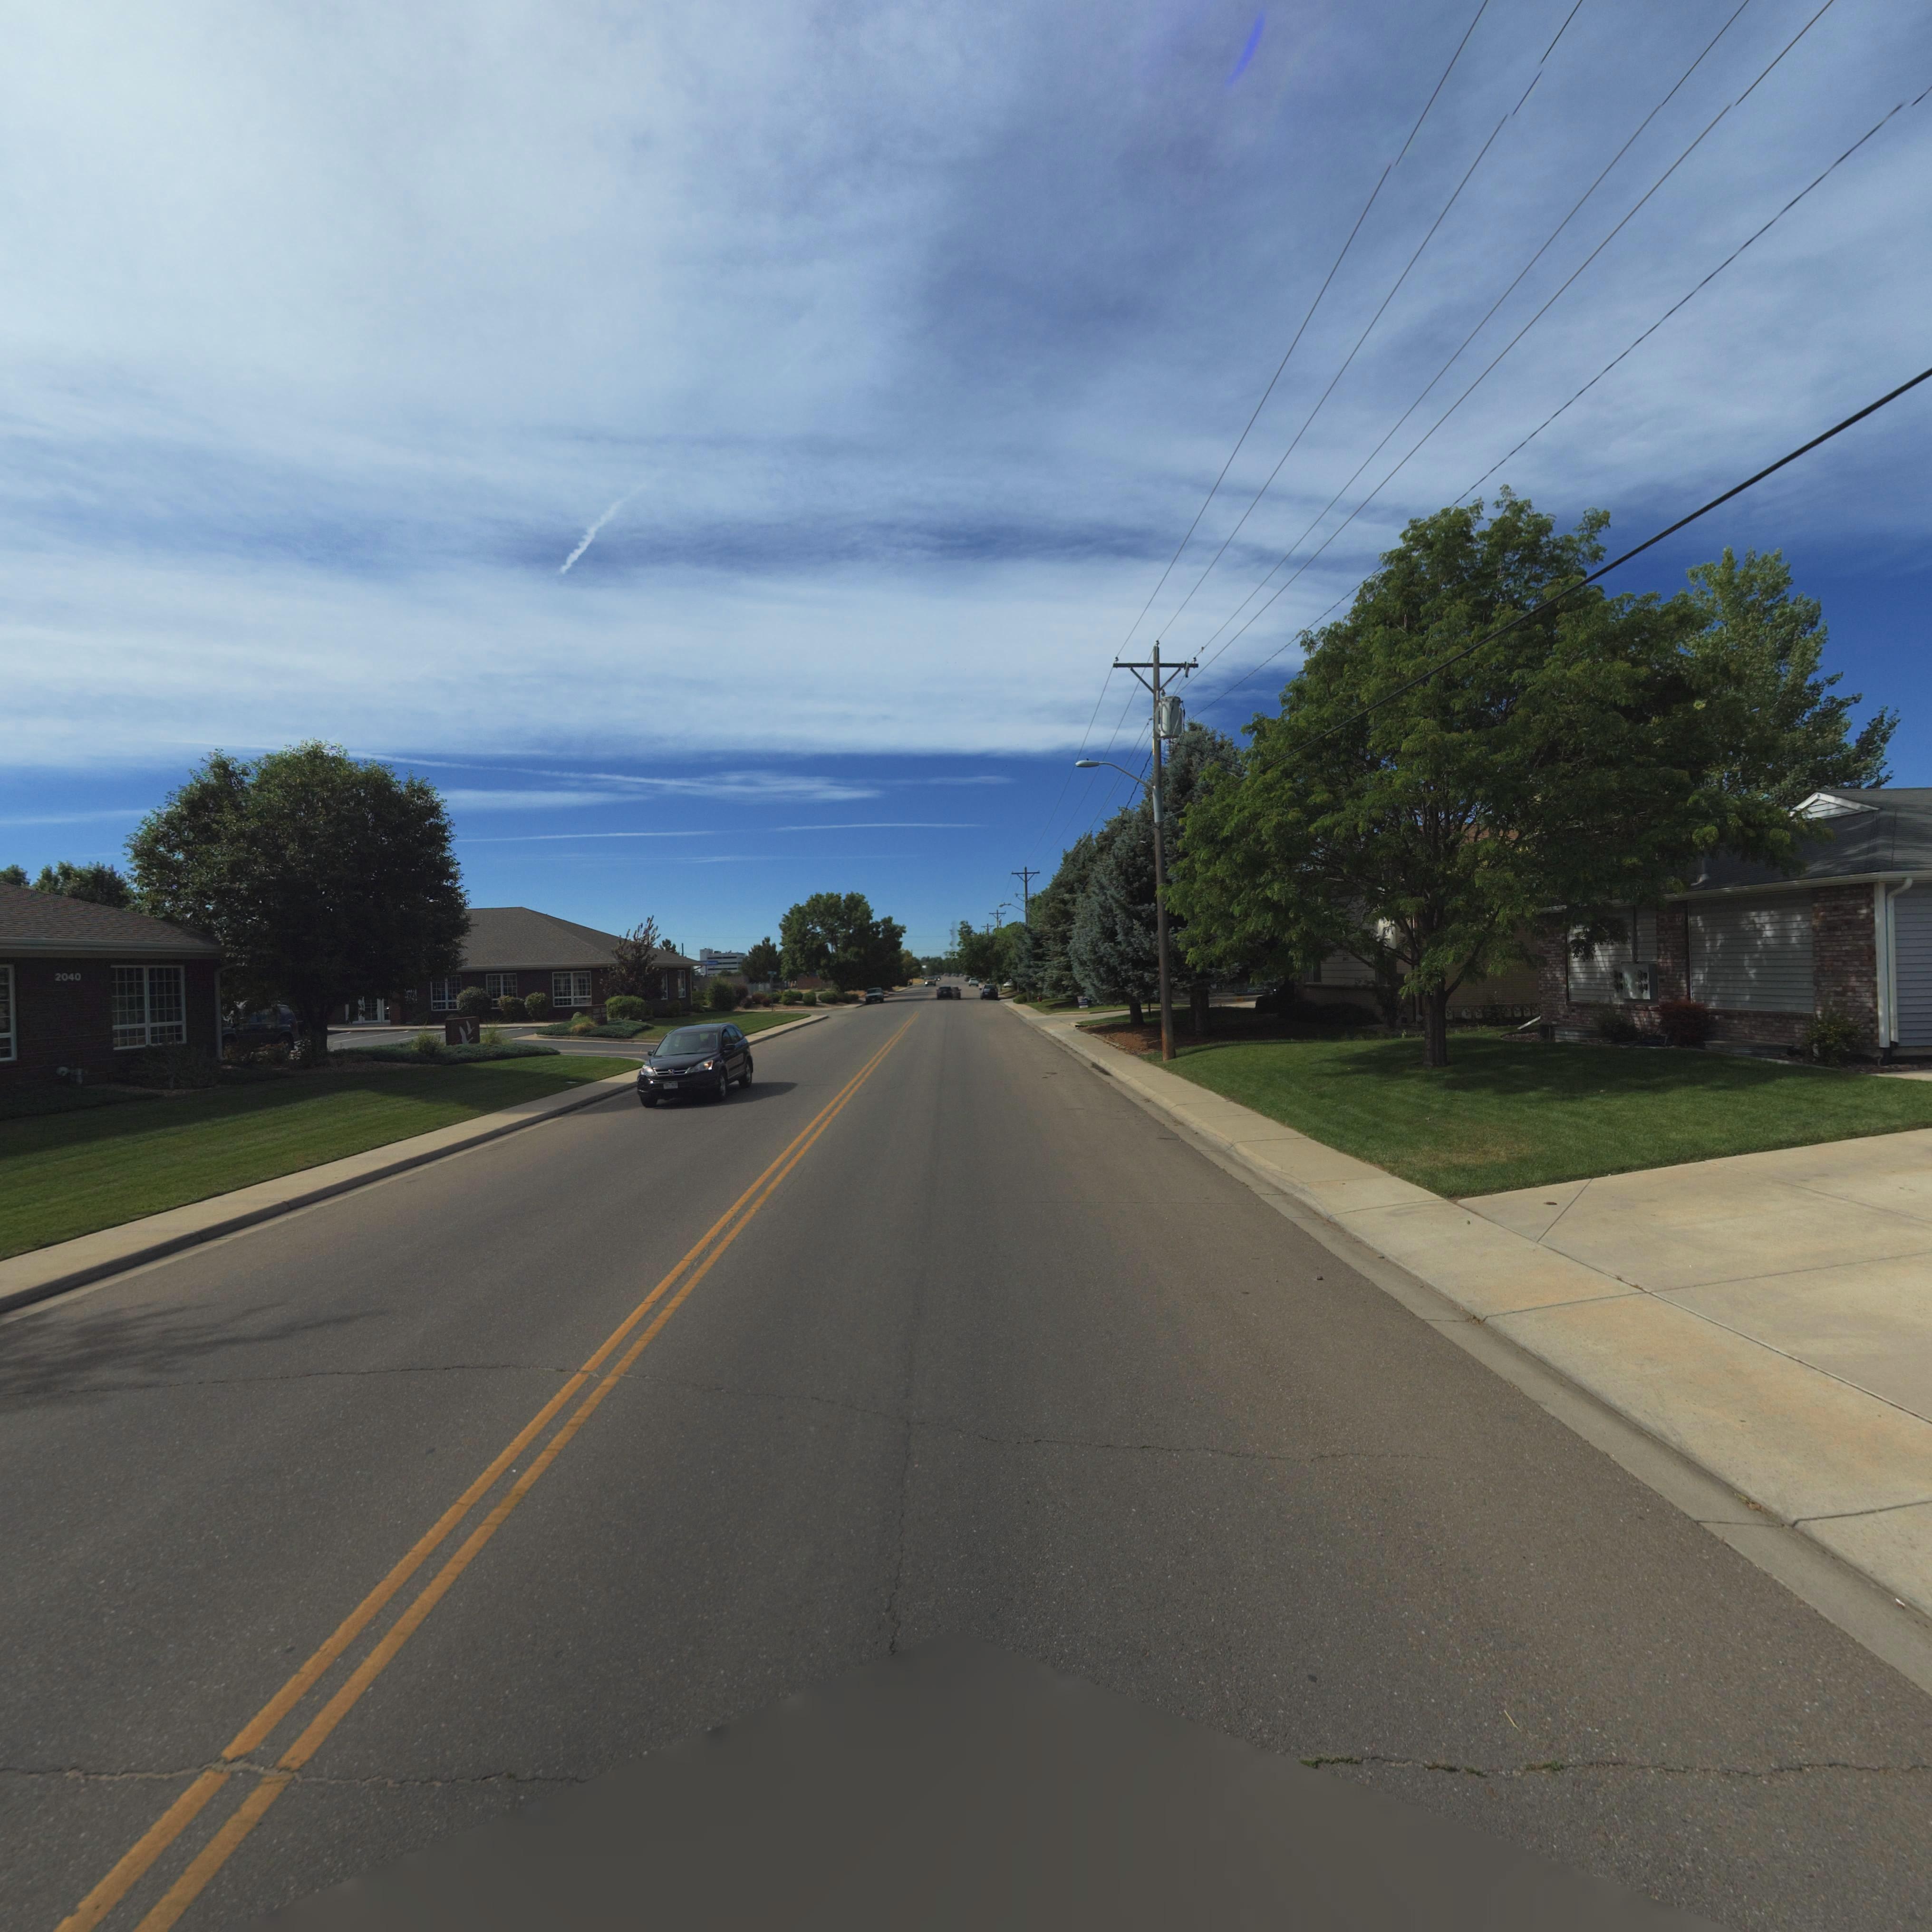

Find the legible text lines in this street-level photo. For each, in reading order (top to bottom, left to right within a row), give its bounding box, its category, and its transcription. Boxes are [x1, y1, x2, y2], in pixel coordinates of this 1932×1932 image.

[54, 973, 81, 981] StreetNumber: 2040